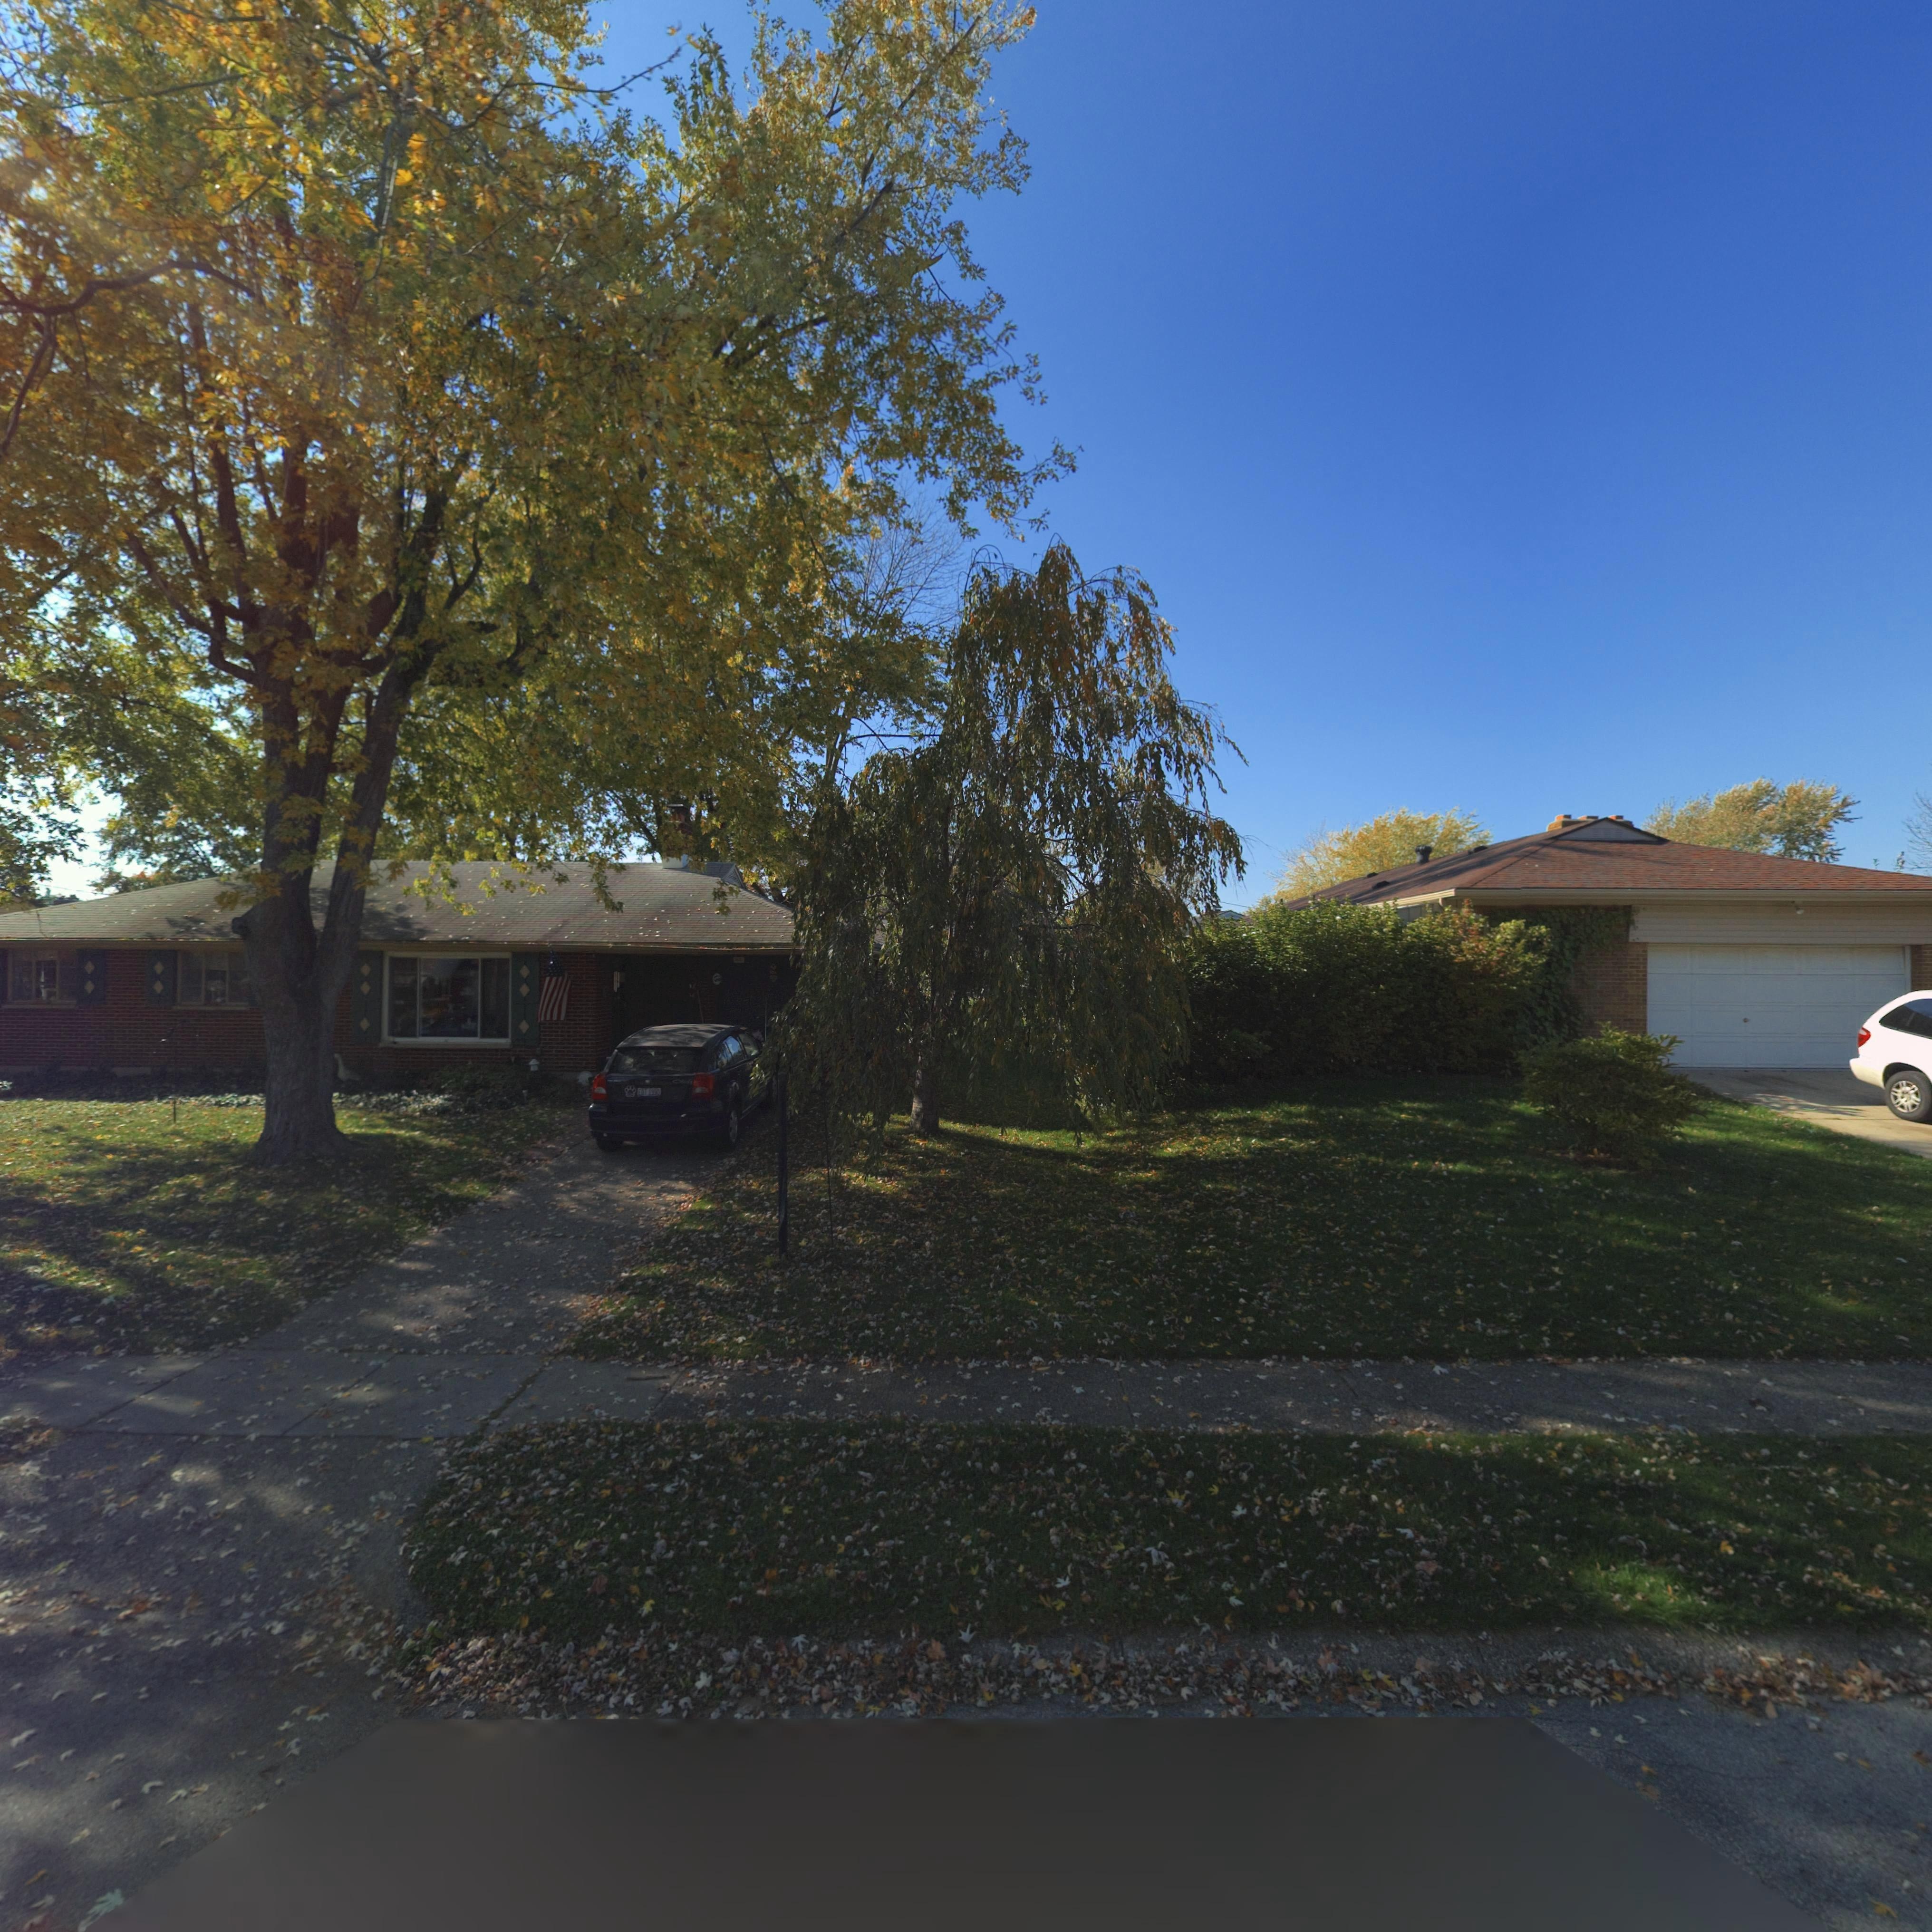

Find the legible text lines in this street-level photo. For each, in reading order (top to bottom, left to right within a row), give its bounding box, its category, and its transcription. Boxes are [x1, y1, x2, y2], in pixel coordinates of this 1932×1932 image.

[637, 1088, 661, 1097] None: ED* 1990